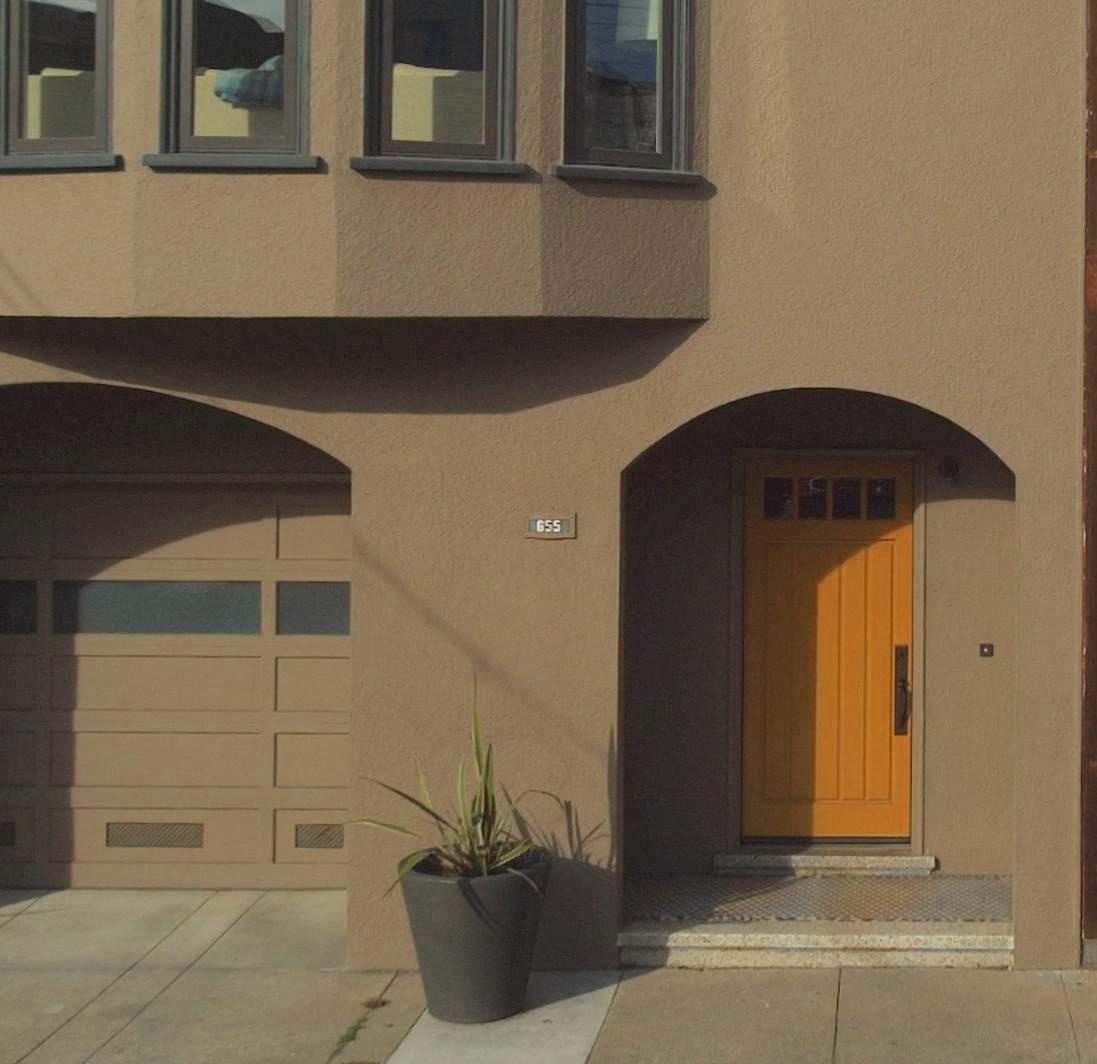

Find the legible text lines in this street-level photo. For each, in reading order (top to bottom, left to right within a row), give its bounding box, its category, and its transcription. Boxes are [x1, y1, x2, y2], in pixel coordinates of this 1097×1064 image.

[534, 517, 564, 535] StreetNumber: 655